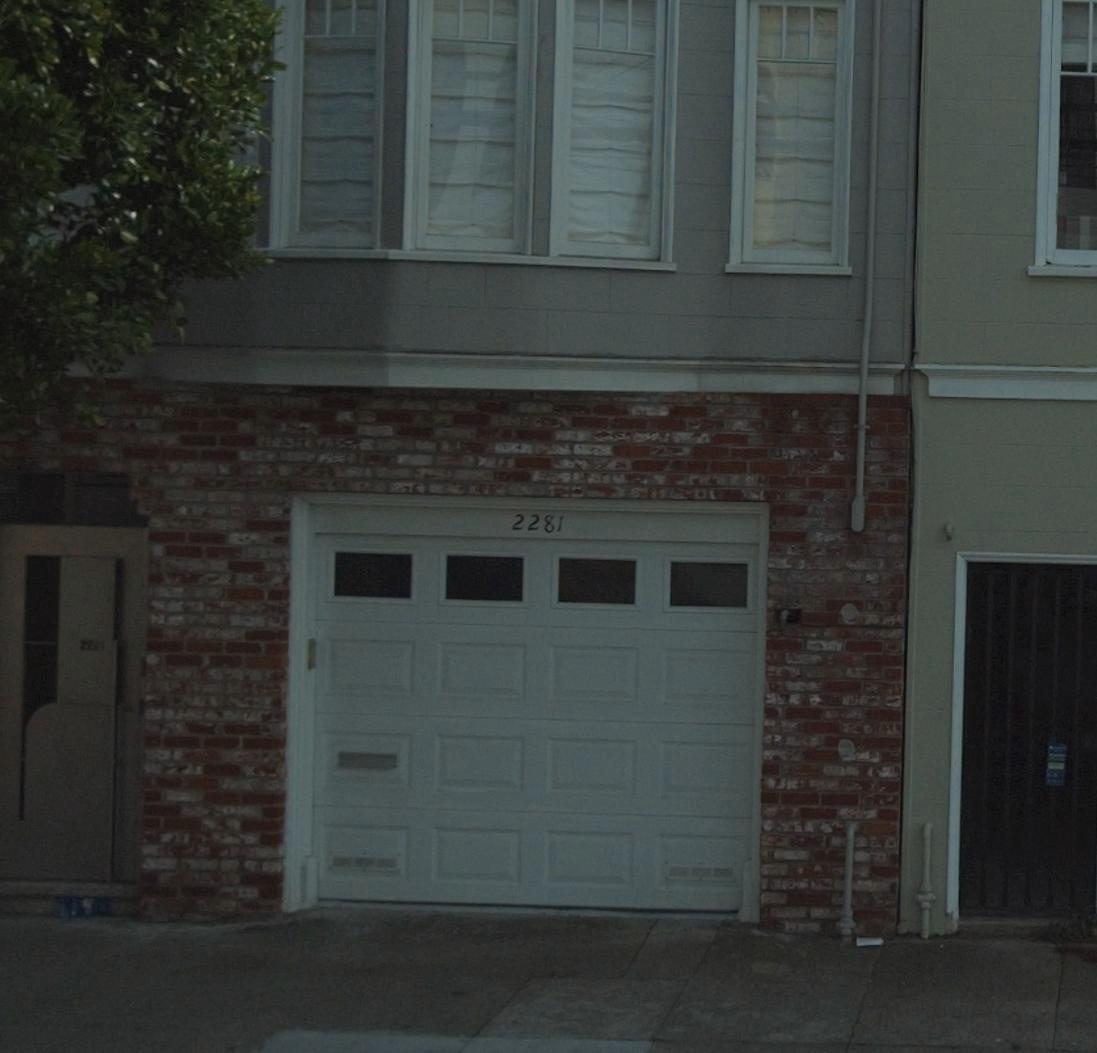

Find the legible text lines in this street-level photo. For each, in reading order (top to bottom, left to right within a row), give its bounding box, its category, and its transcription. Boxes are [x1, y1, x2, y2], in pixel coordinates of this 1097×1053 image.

[510, 511, 565, 536] StreetNumber: 2281